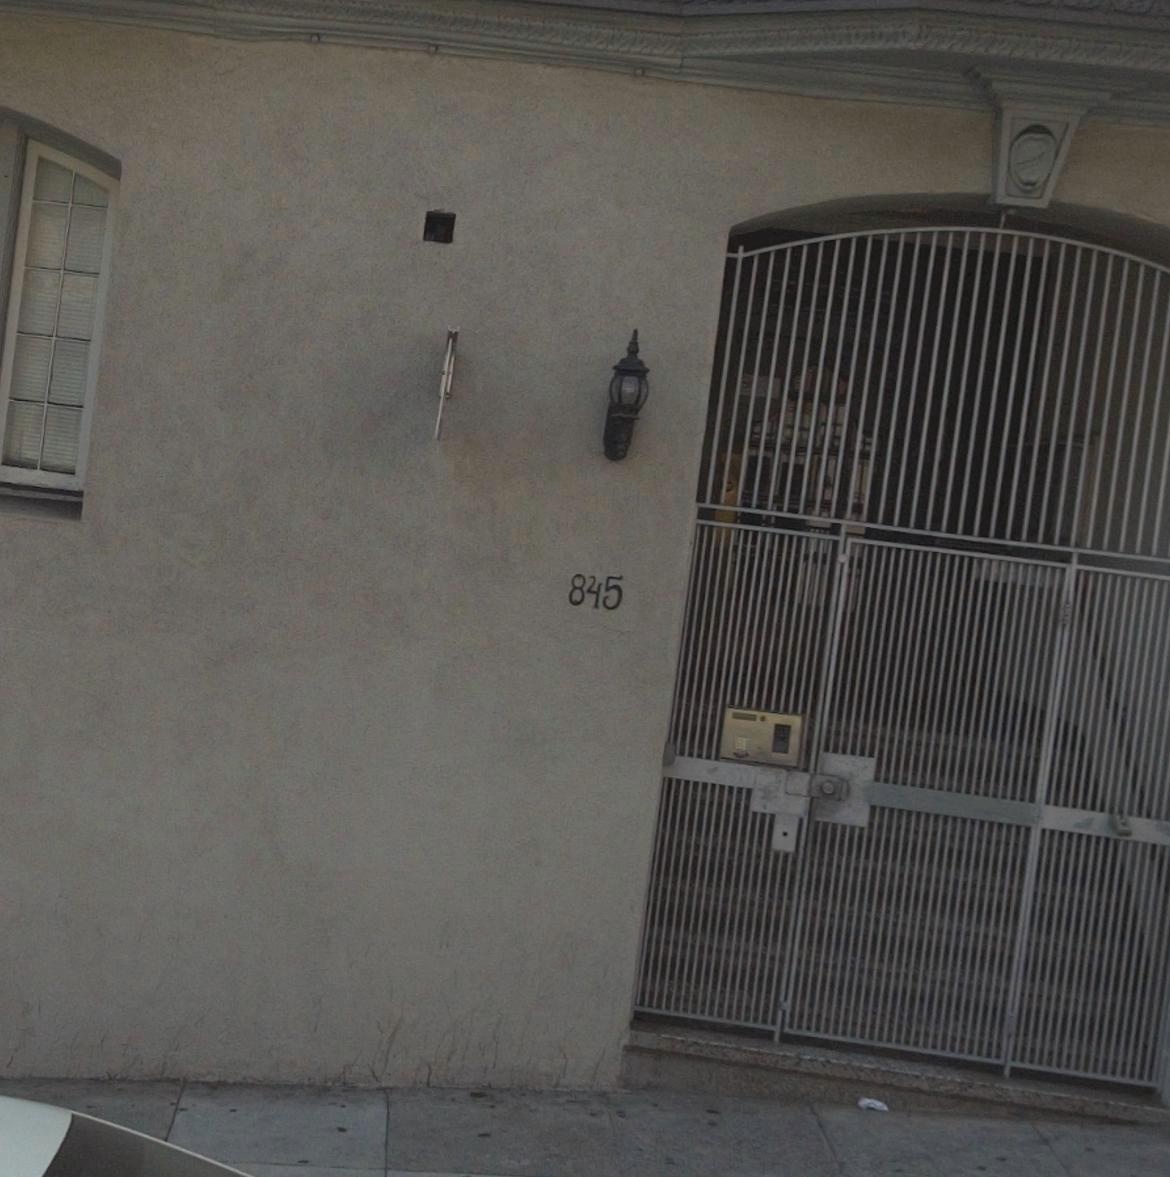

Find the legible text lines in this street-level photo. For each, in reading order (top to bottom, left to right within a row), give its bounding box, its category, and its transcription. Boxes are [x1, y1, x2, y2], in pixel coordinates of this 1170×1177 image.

[564, 568, 631, 616] StreetNumber: 845